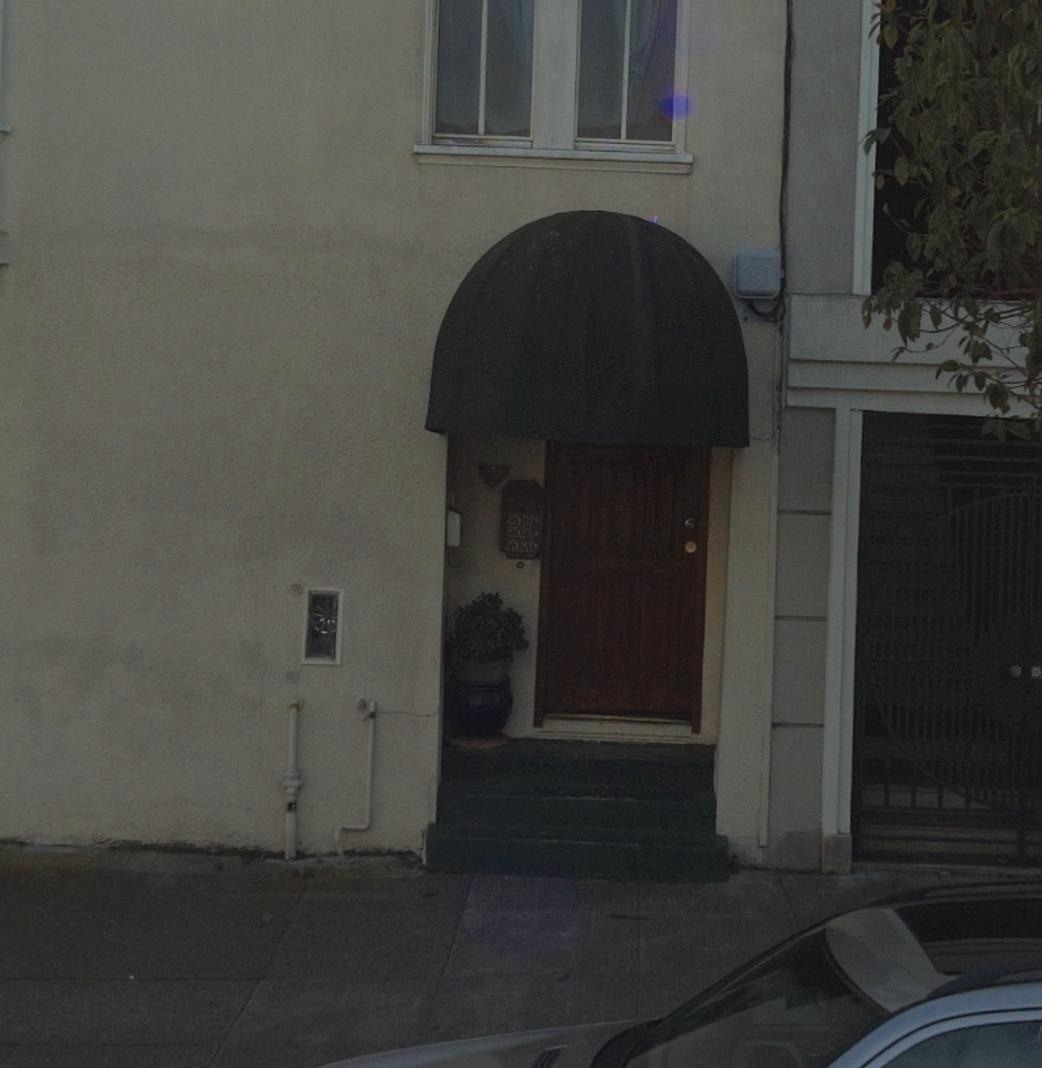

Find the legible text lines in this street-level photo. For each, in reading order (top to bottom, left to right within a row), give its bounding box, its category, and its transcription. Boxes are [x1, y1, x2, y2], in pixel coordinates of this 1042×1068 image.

[505, 511, 536, 529] StreetNumber: 2519
[505, 525, 533, 541] StreetNumber: 2521
[501, 537, 535, 556] StreetNumber: 2523